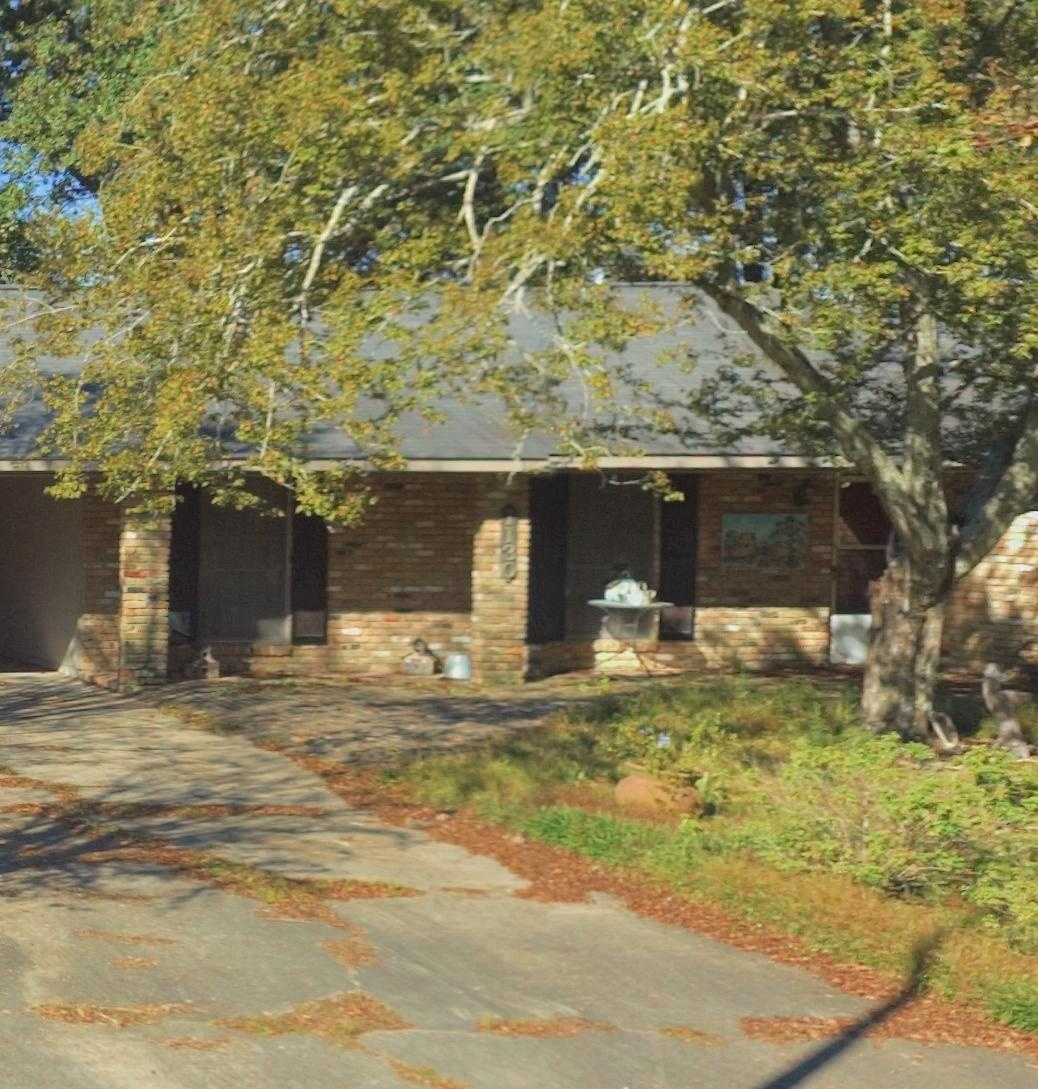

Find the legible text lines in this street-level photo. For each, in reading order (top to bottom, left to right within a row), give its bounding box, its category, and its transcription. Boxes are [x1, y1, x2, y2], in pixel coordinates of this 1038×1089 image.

[500, 505, 518, 581] StreetNumber: 1130